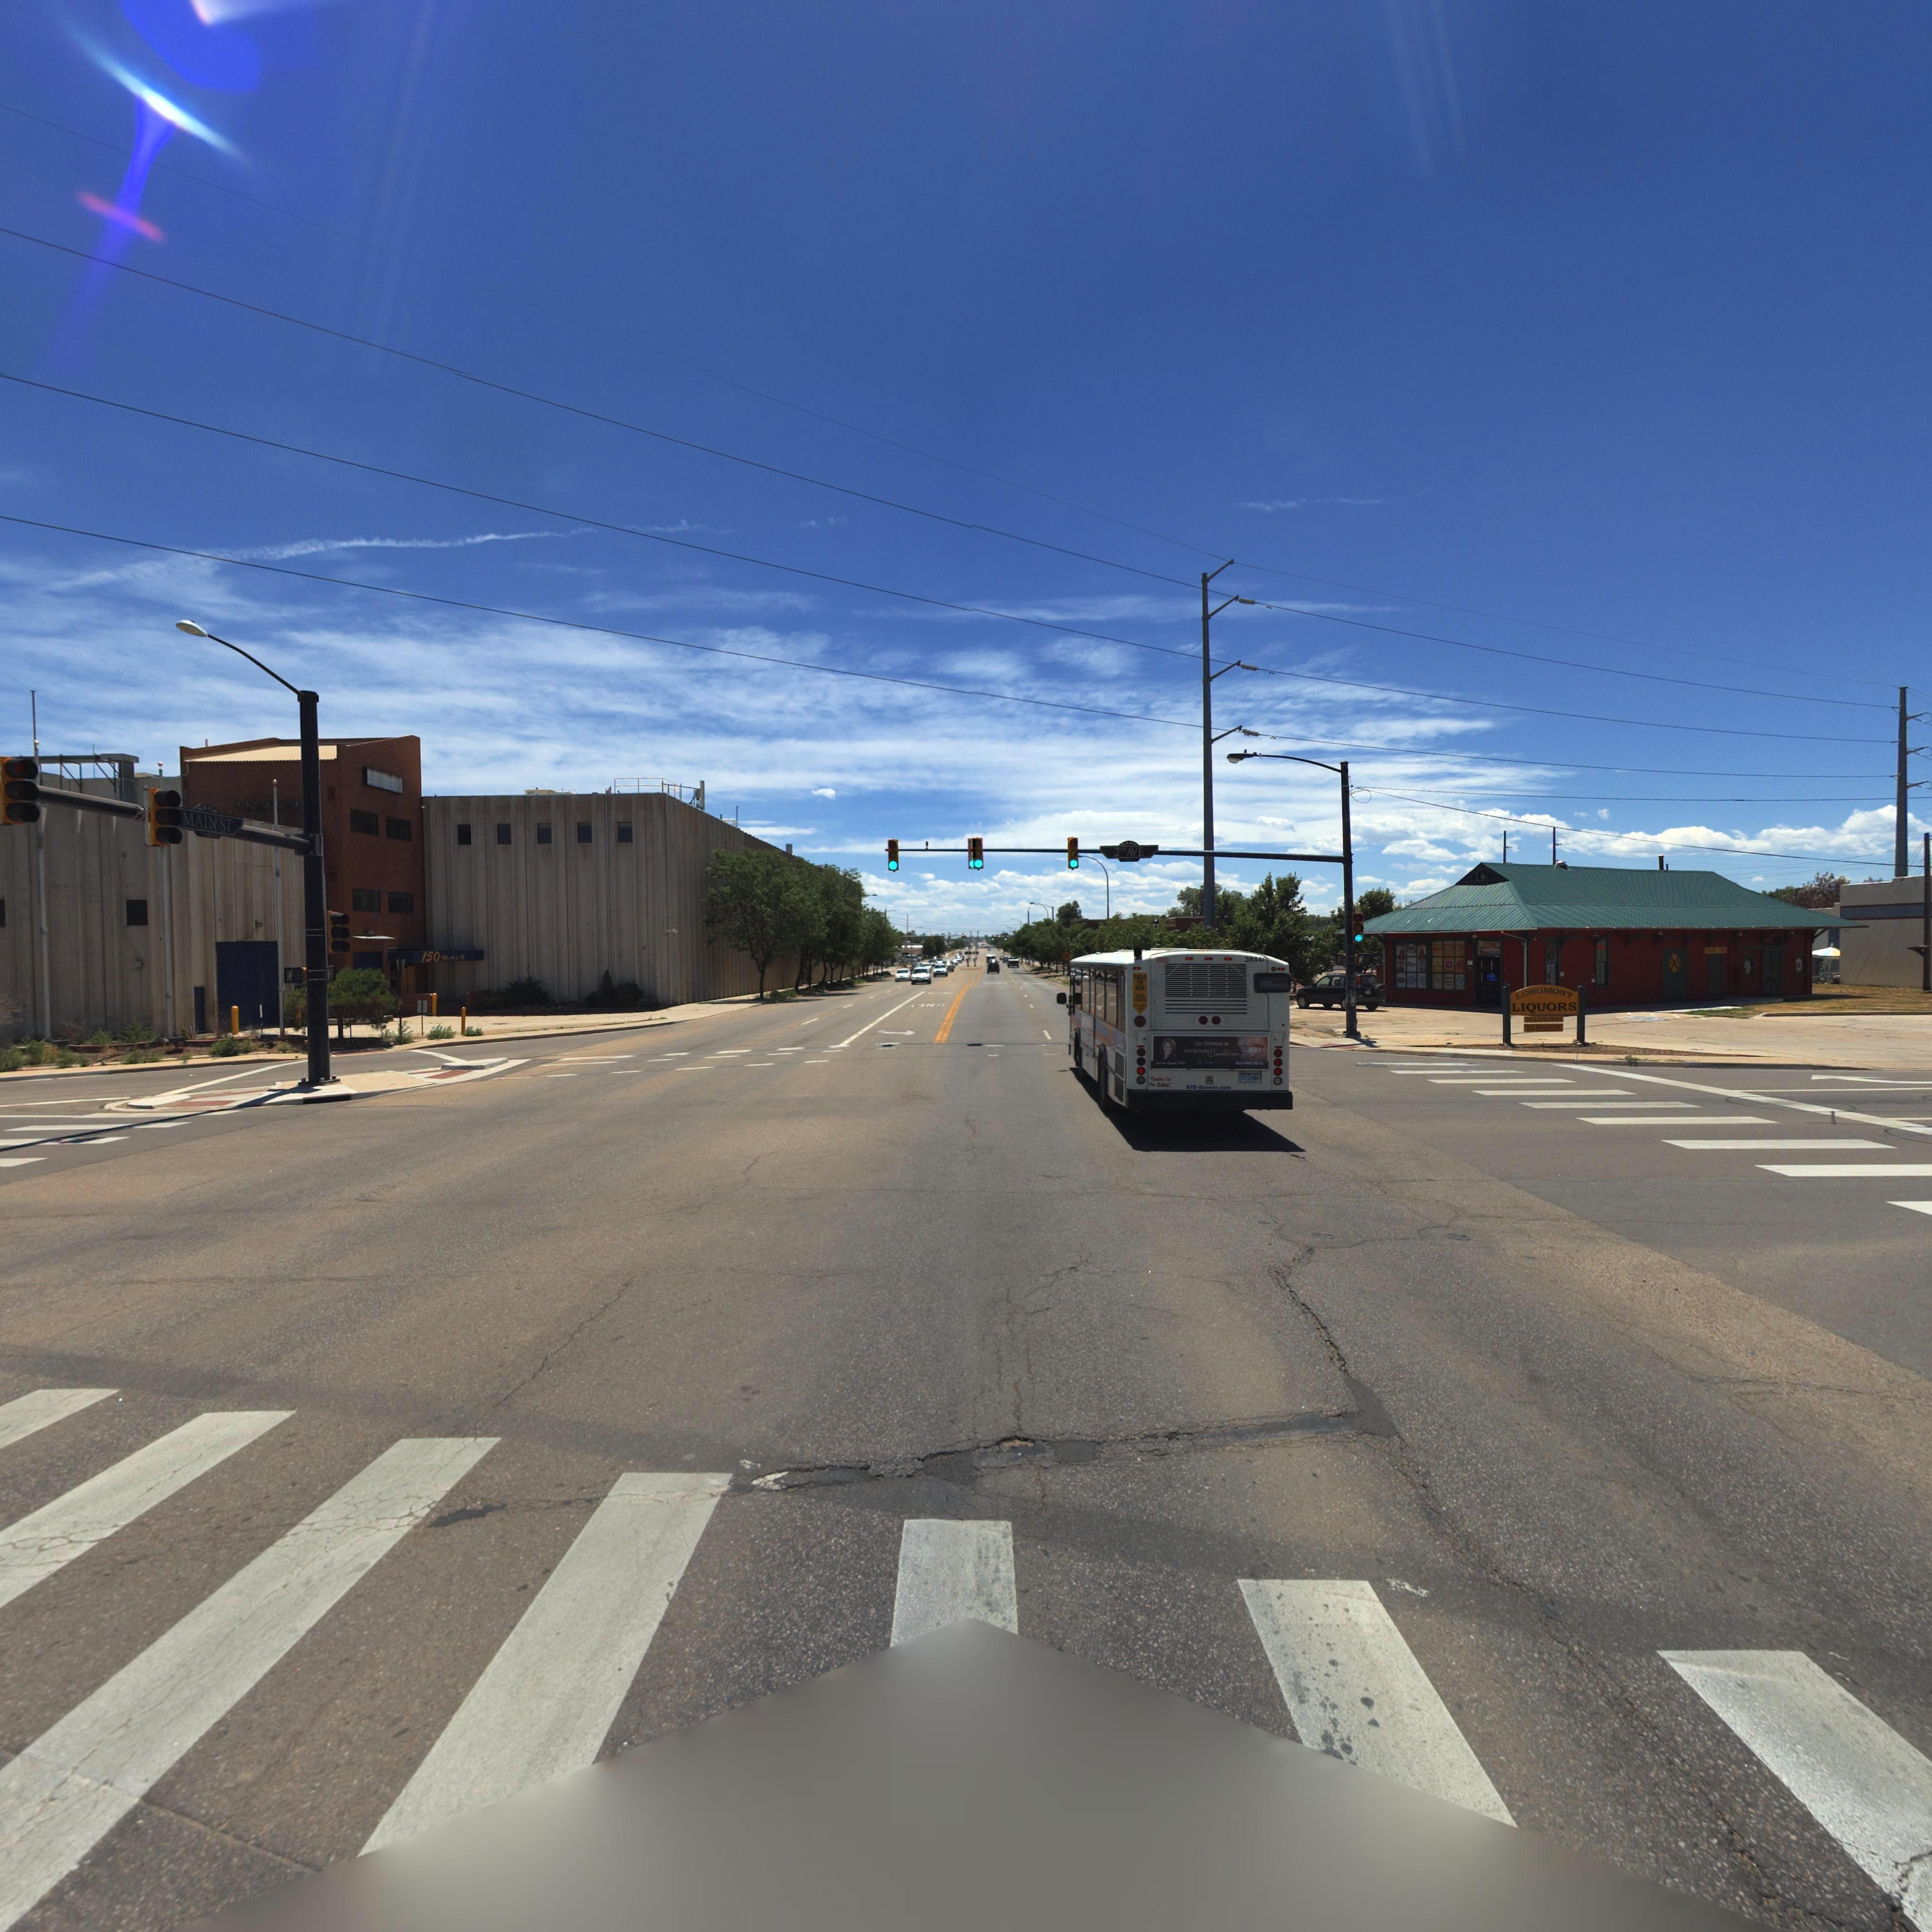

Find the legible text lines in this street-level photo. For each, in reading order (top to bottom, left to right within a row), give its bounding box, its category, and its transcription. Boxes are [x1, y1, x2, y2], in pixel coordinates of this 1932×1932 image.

[182, 810, 234, 833] StreetName: MAIN ST
[1113, 846, 1144, 858] StreetName: 2ND AVE
[419, 951, 441, 962] StreetNumber: 150
[1515, 985, 1574, 1000] BusinessName: LONGMONT
[1510, 1002, 1576, 1014] BusinessName: LIQUORS